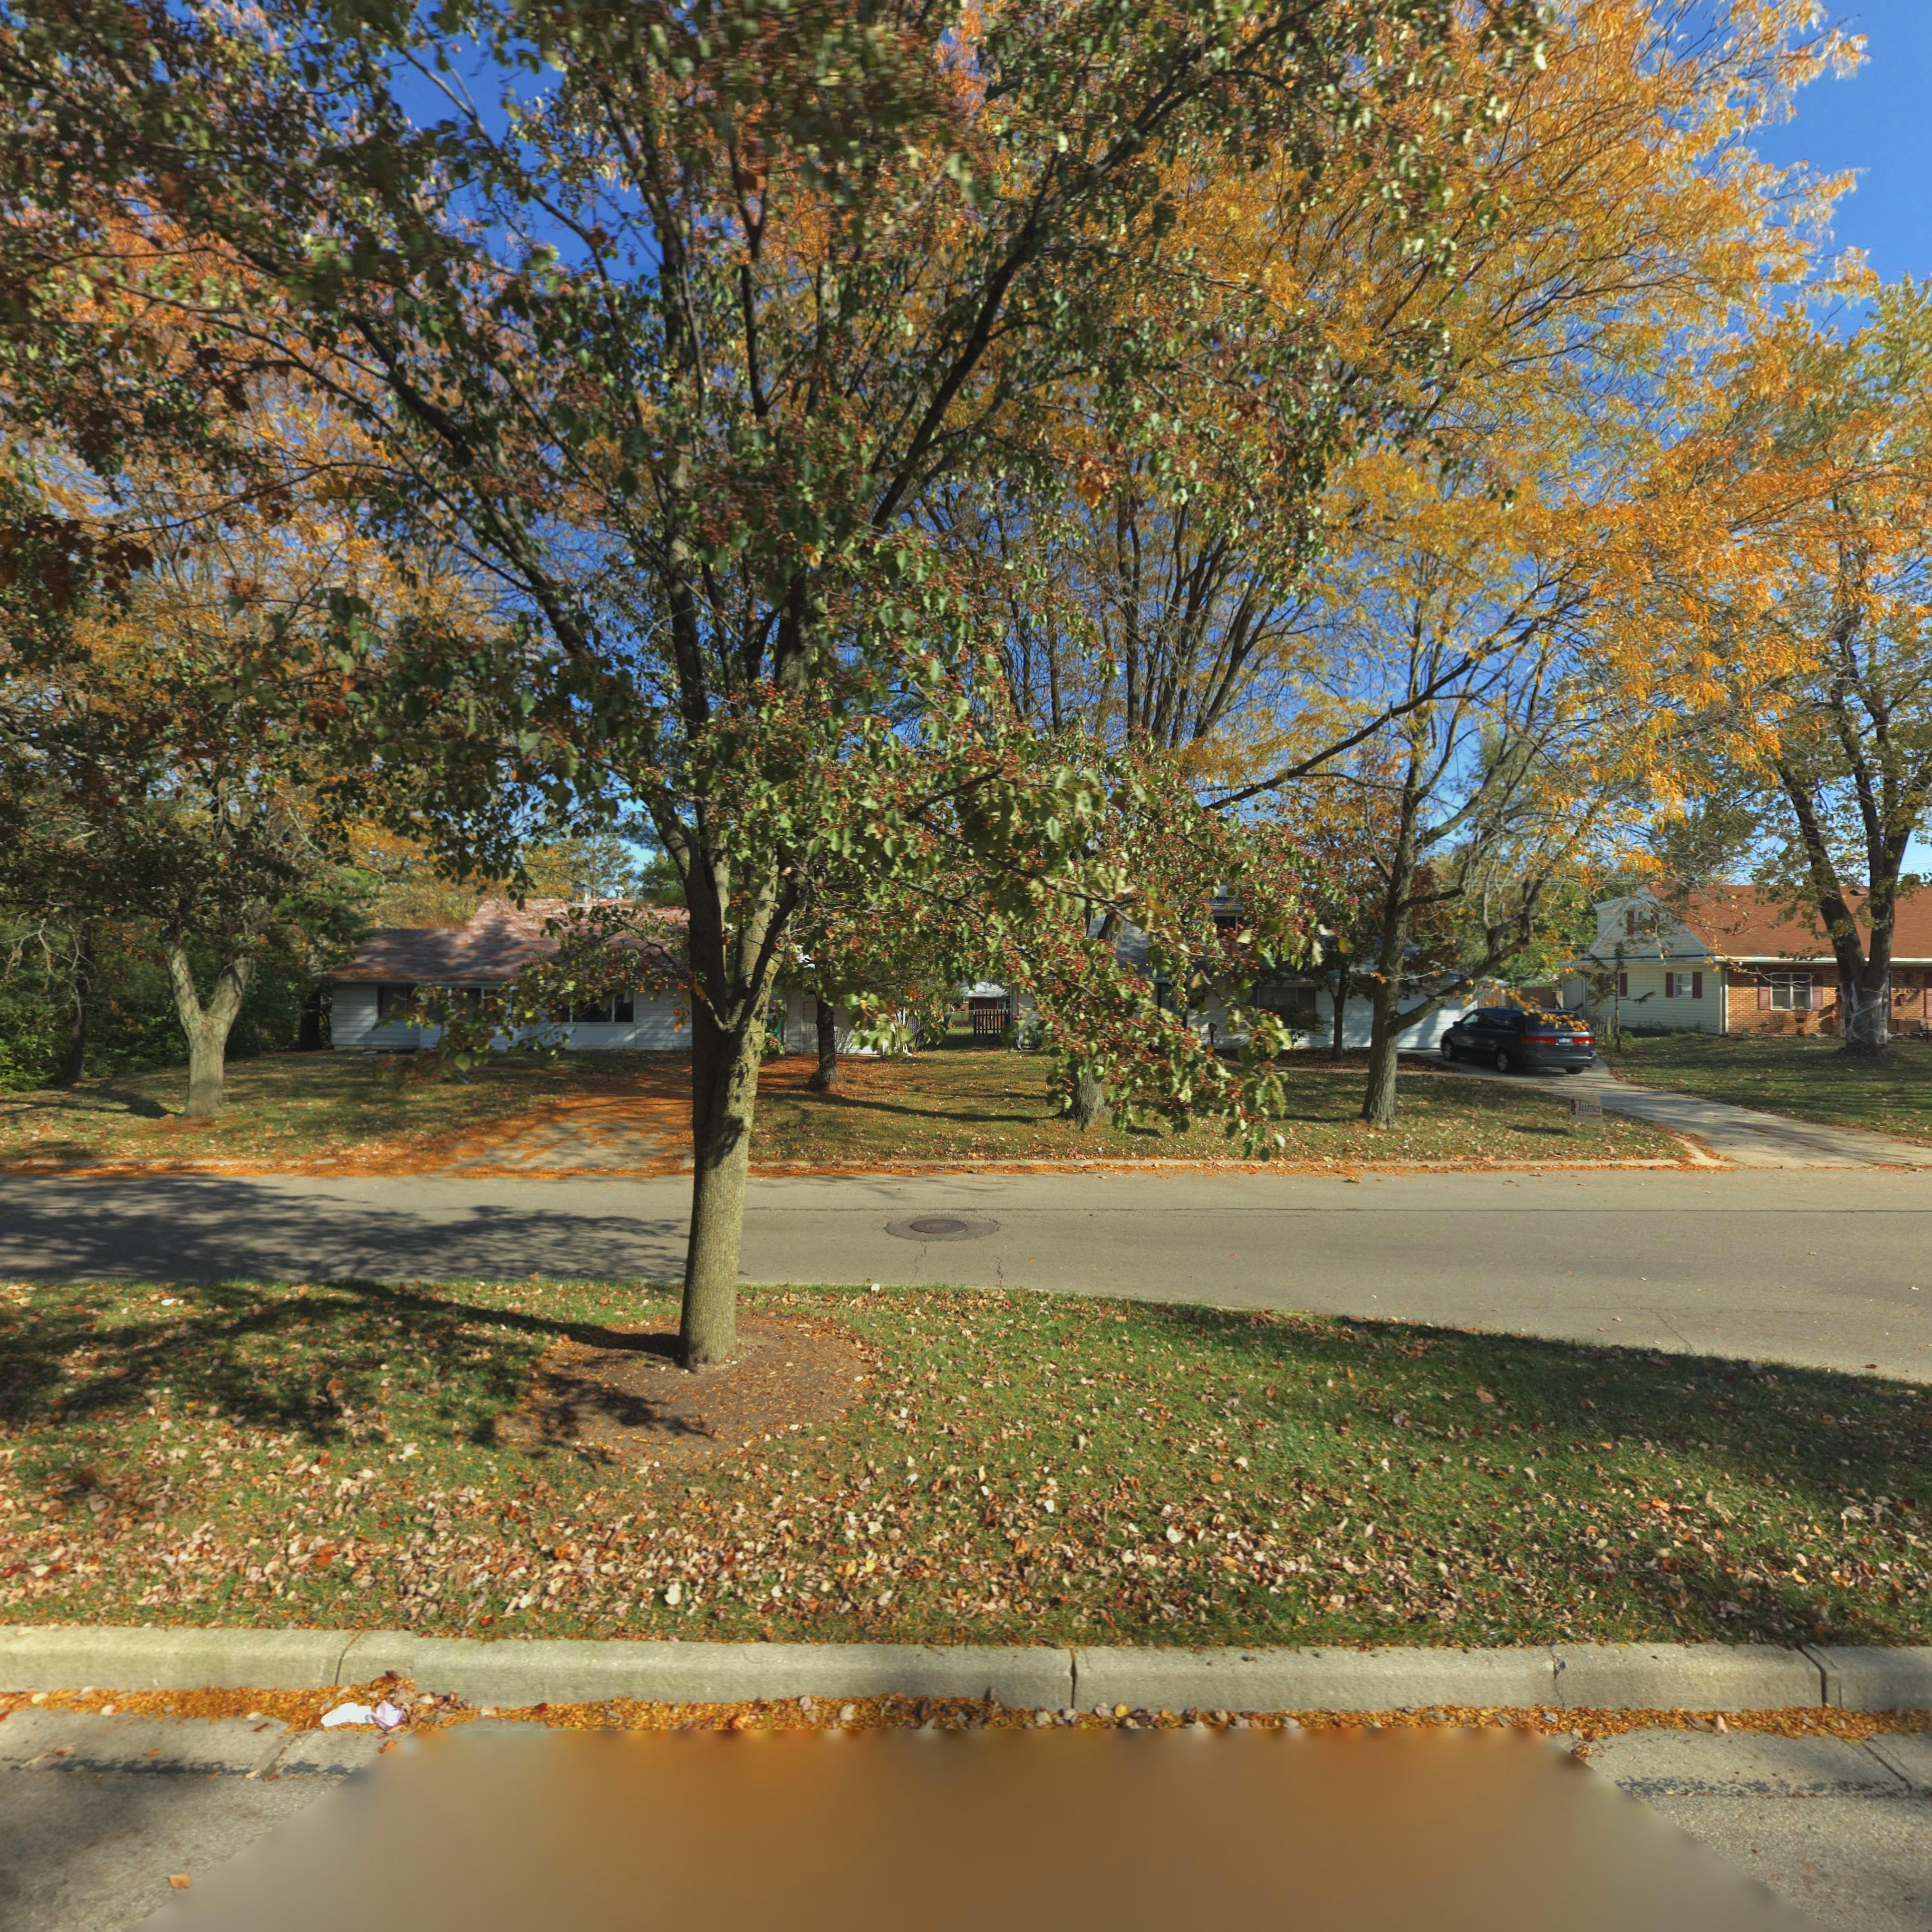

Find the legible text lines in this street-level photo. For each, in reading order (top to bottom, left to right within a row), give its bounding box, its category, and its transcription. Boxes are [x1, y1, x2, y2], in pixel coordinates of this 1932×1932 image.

[1892, 986, 1920, 993] StreetNumber: 3700
[1575, 1098, 1601, 1113] None: Turner
[1577, 1111, 1589, 1118] None: CS C